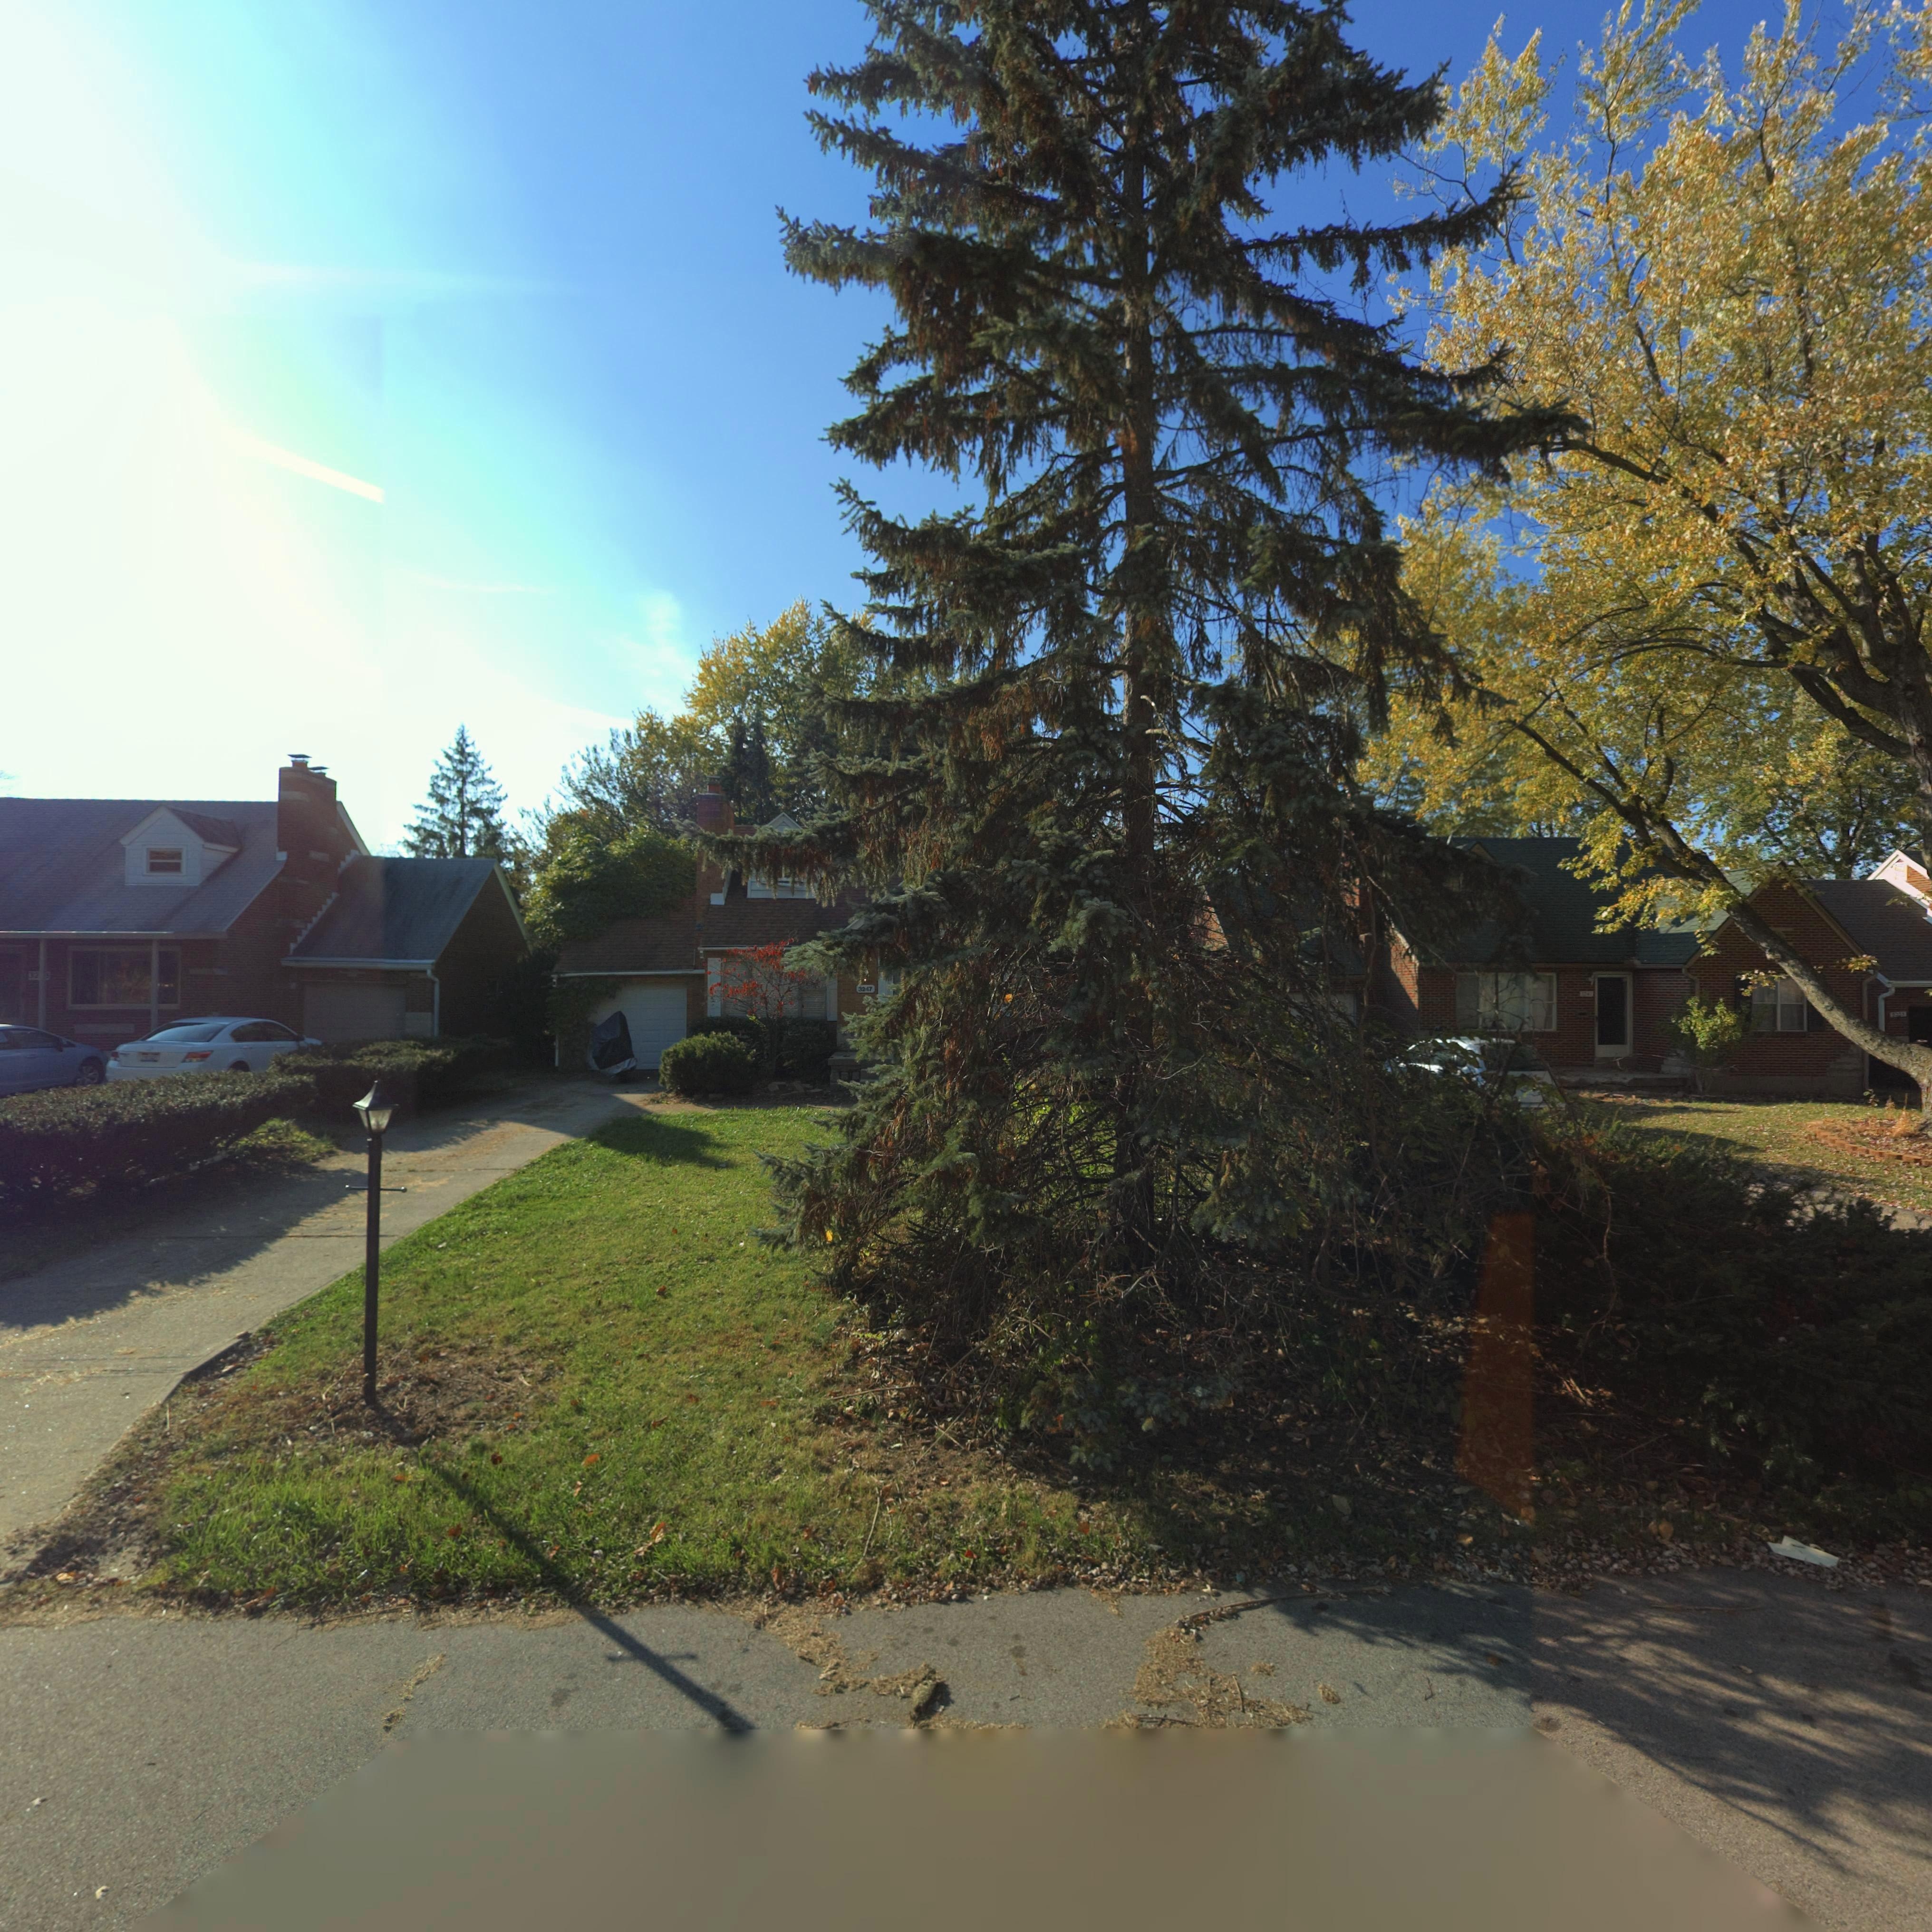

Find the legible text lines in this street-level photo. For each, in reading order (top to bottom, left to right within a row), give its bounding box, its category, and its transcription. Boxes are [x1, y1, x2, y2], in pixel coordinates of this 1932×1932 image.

[28, 971, 49, 978] StreetNumber: 32**
[858, 986, 872, 992] StreetNumber: 3247
[1581, 991, 1593, 996] StreetNumber: 3247